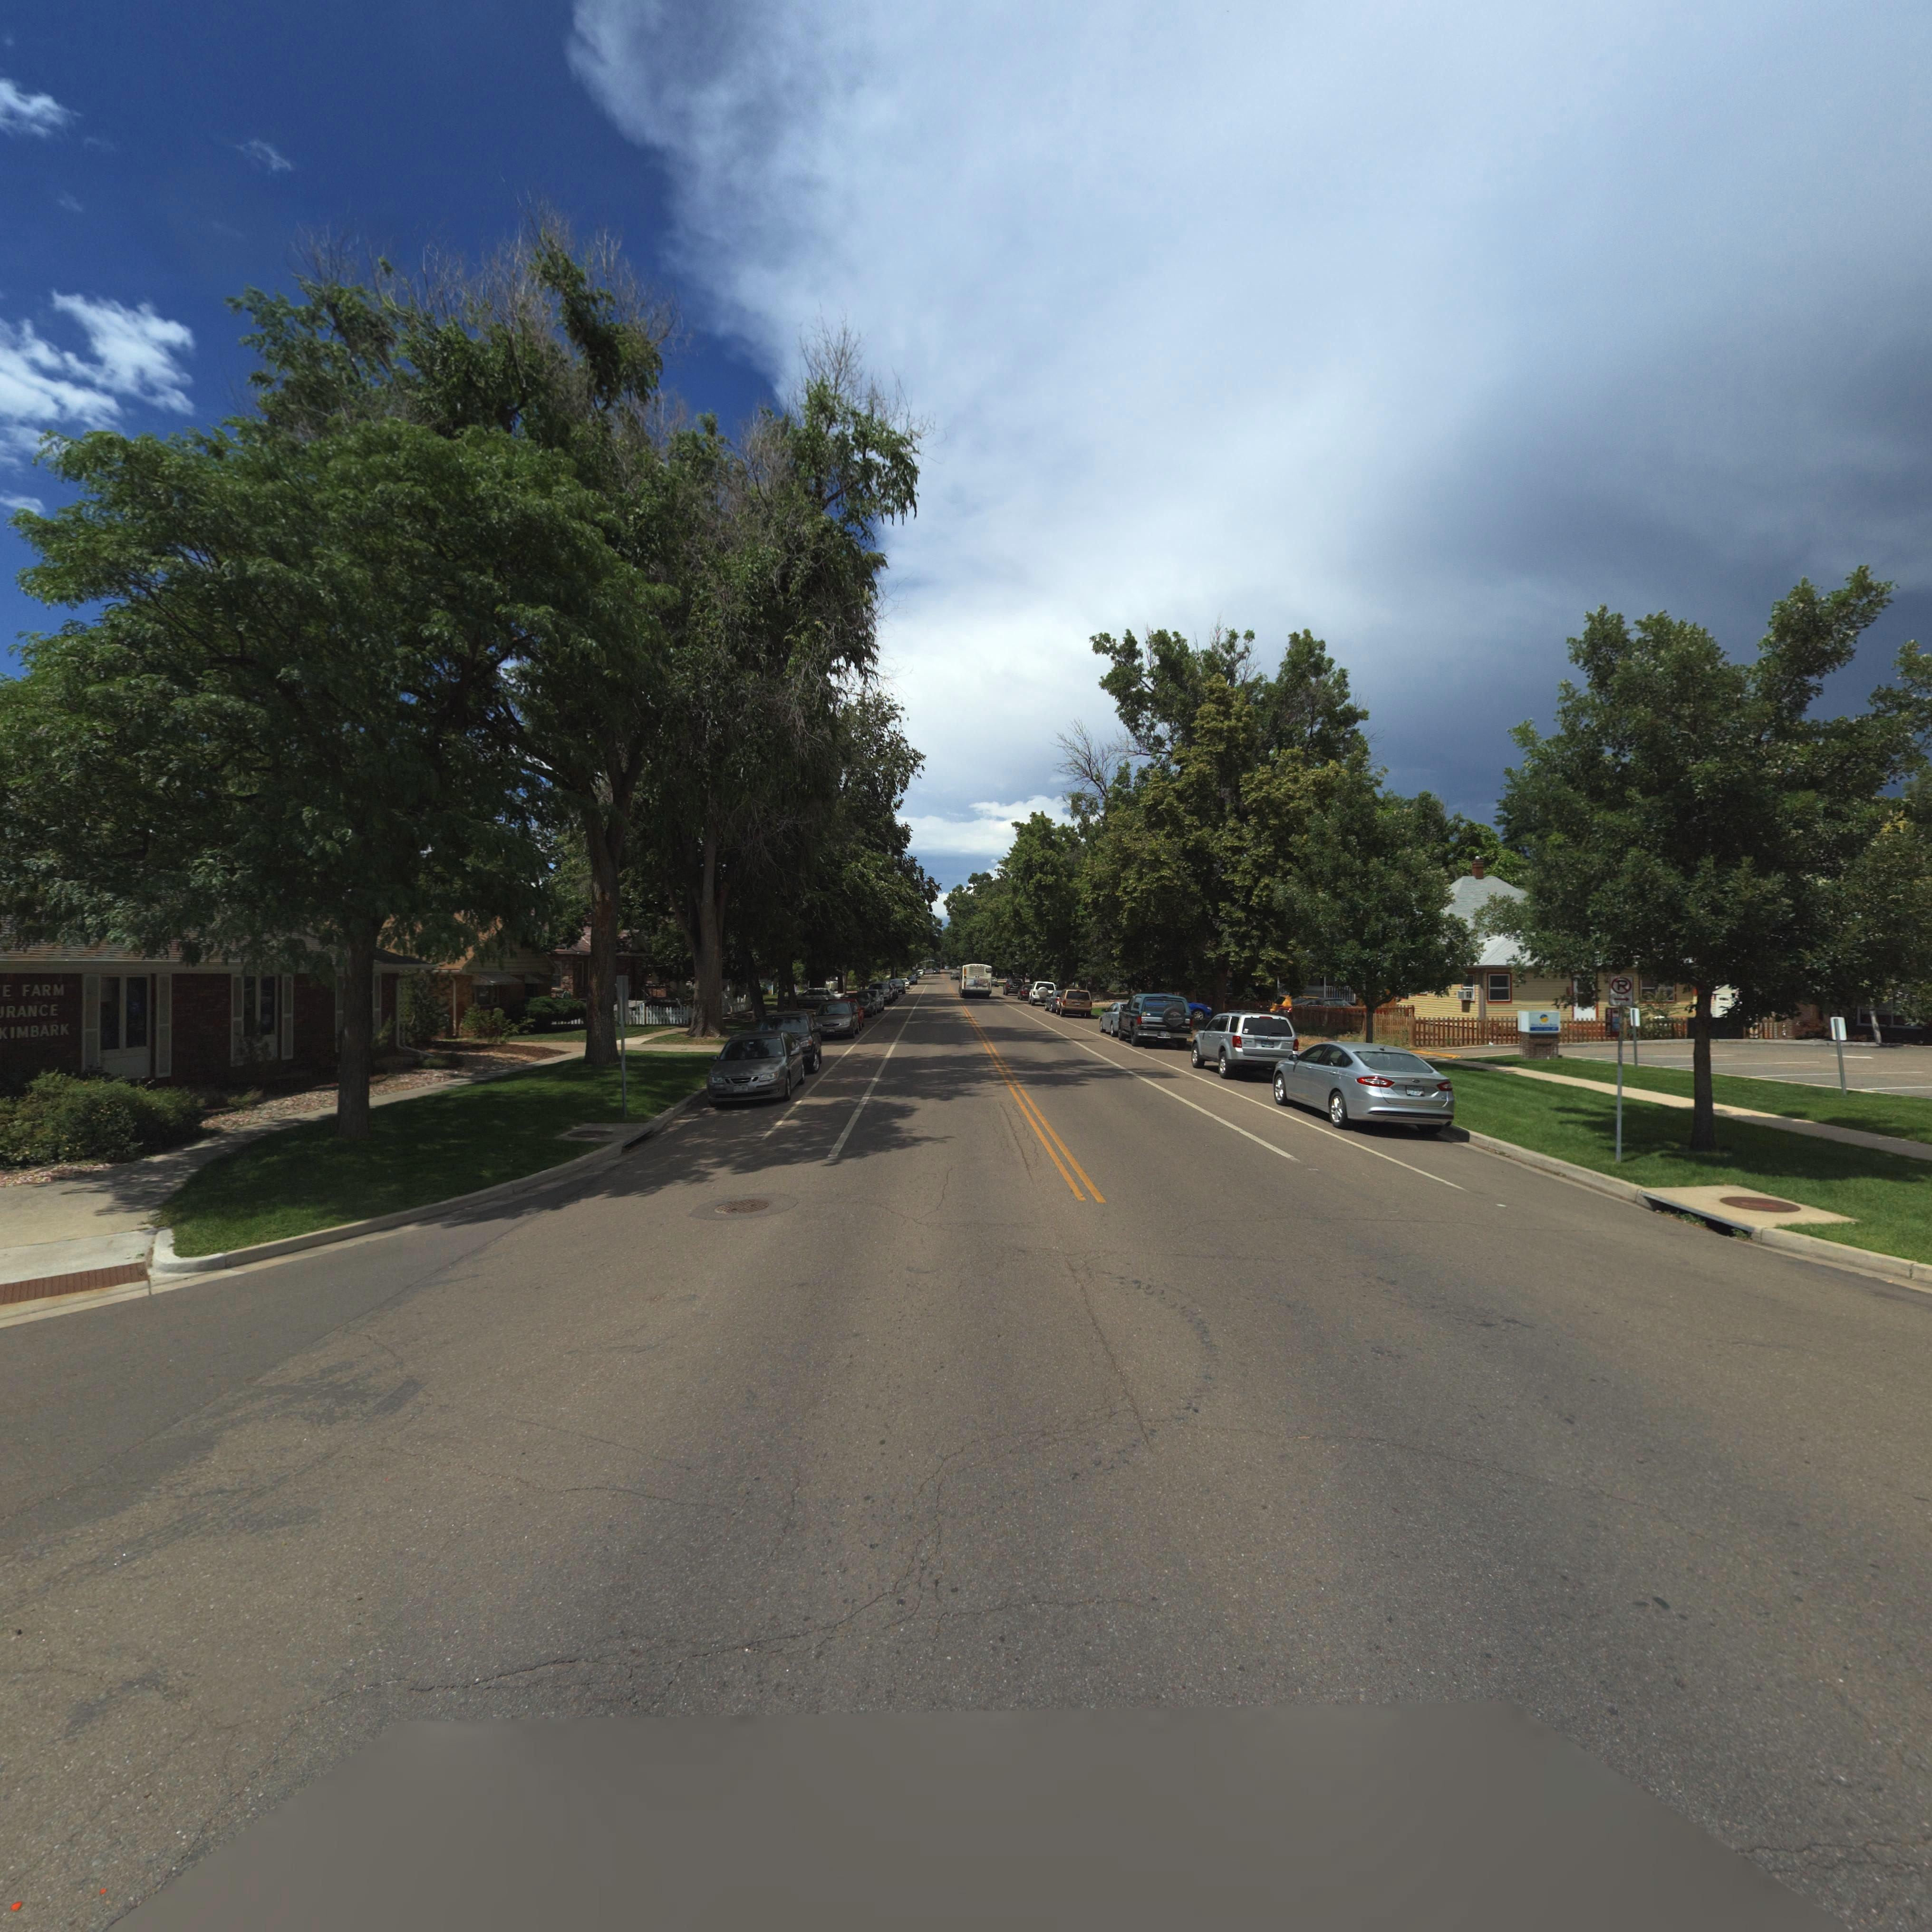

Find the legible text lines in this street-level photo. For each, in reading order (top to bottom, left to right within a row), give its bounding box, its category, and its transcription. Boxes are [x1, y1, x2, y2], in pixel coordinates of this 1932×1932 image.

[1, 982, 66, 999] BusinessName: E FARM
[5, 1003, 59, 1018] BusinessName: RANCE
[0, 1022, 72, 1042] StreetName: KIMBARK